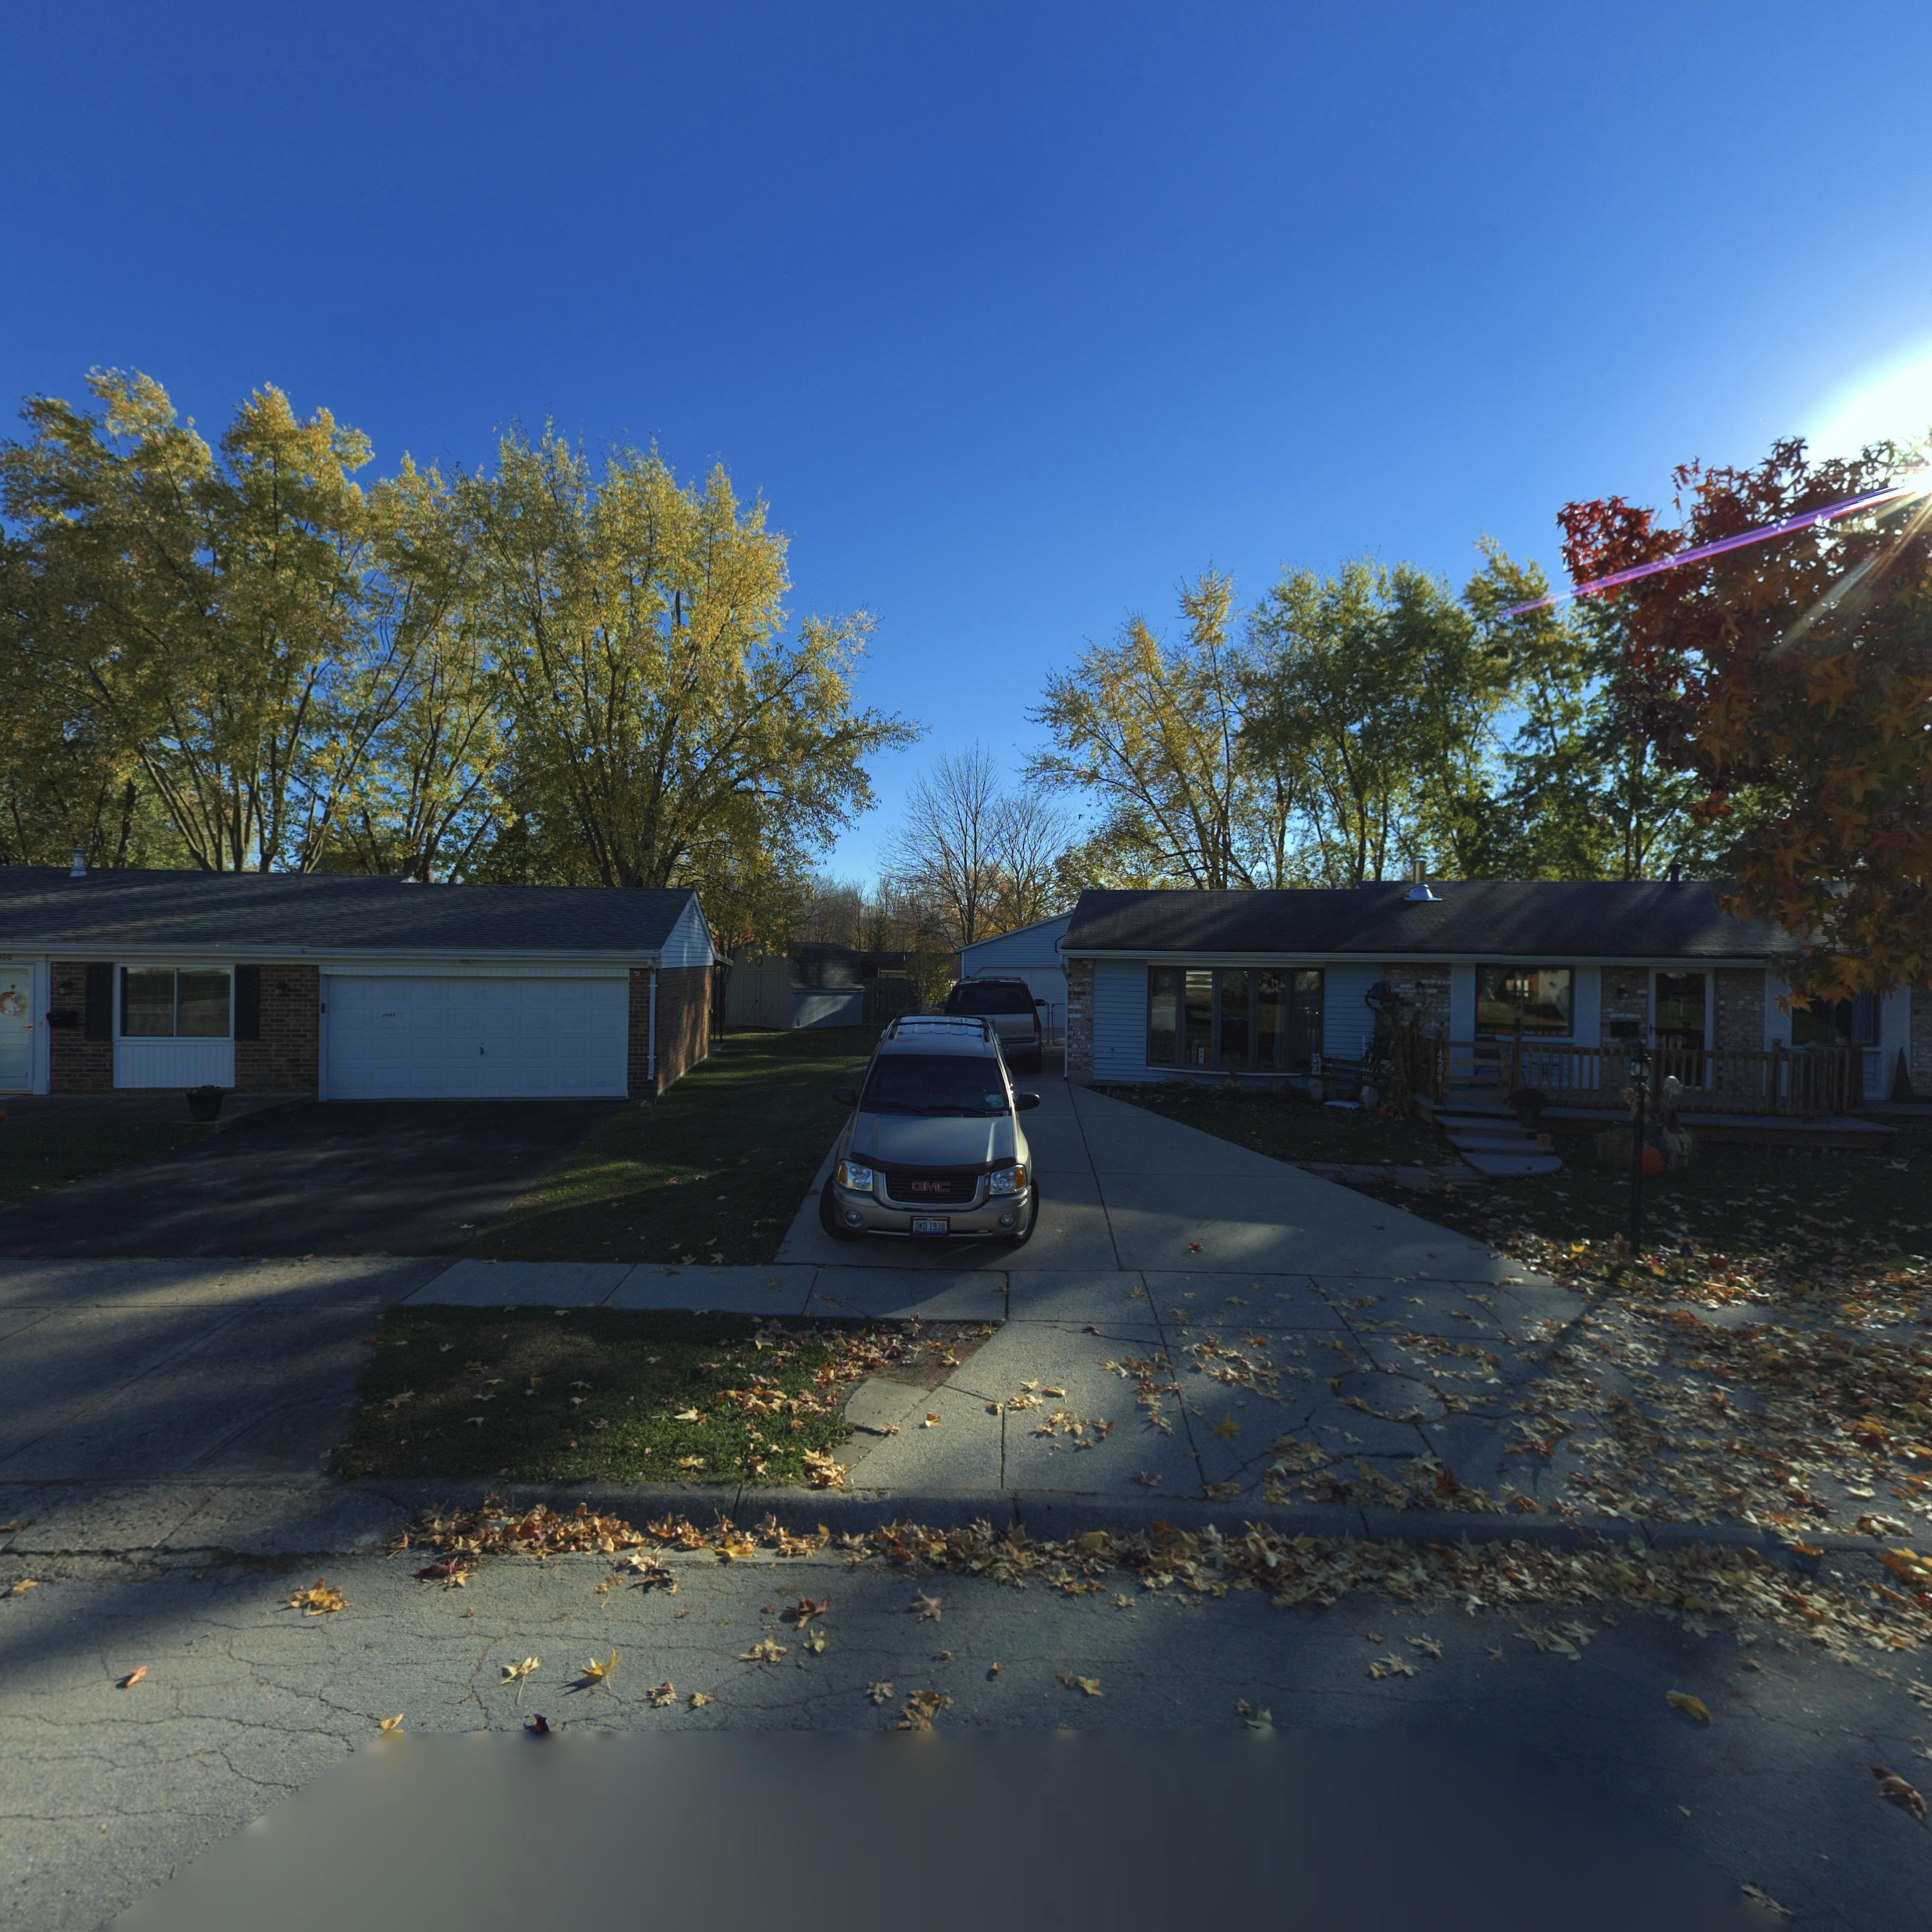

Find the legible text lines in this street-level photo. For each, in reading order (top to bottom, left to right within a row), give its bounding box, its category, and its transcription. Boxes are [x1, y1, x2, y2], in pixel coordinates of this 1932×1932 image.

[1, 954, 13, 960] StreetNumber: 00
[1436, 1049, 1443, 1083] StreetNumber: 4508